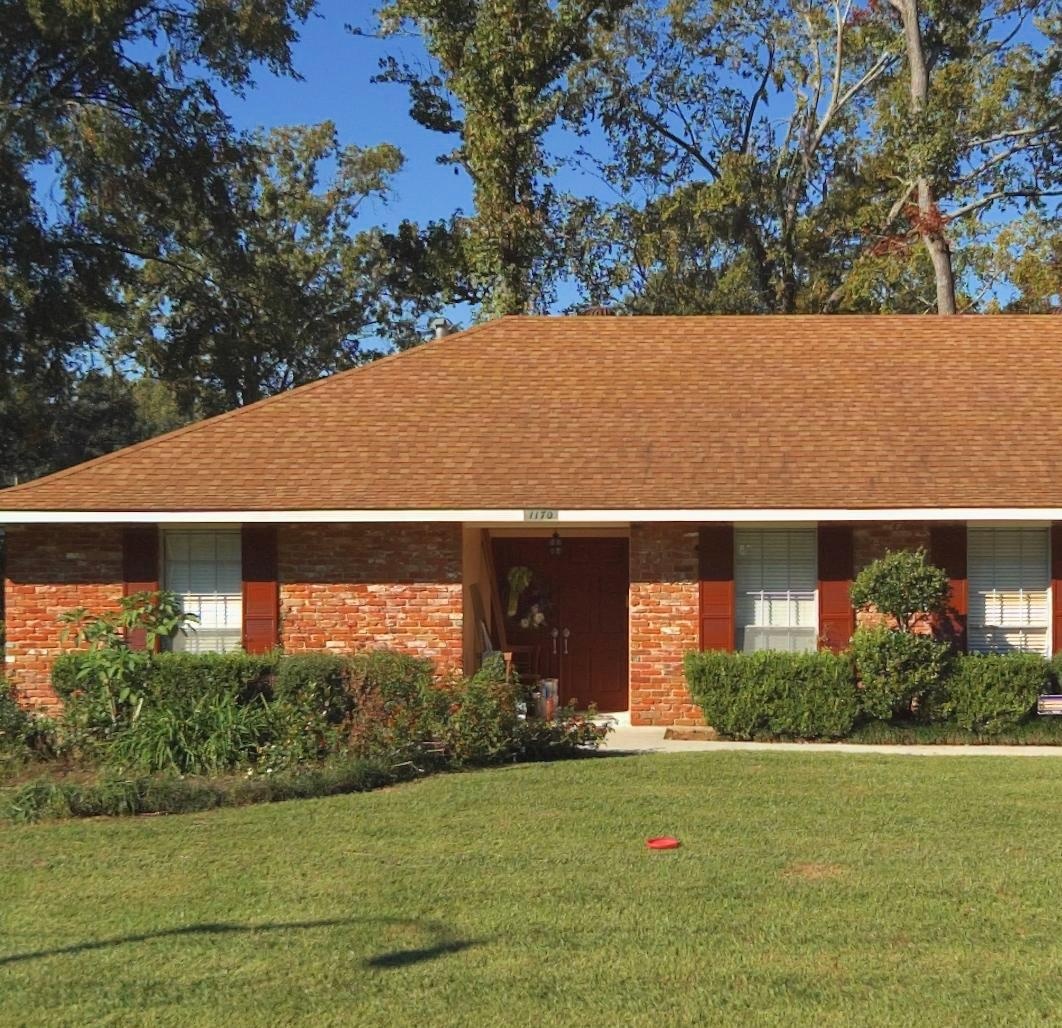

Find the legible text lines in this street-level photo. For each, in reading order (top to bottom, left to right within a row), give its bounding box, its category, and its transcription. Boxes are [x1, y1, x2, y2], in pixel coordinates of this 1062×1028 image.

[526, 509, 555, 521] StreetNumber: 1170